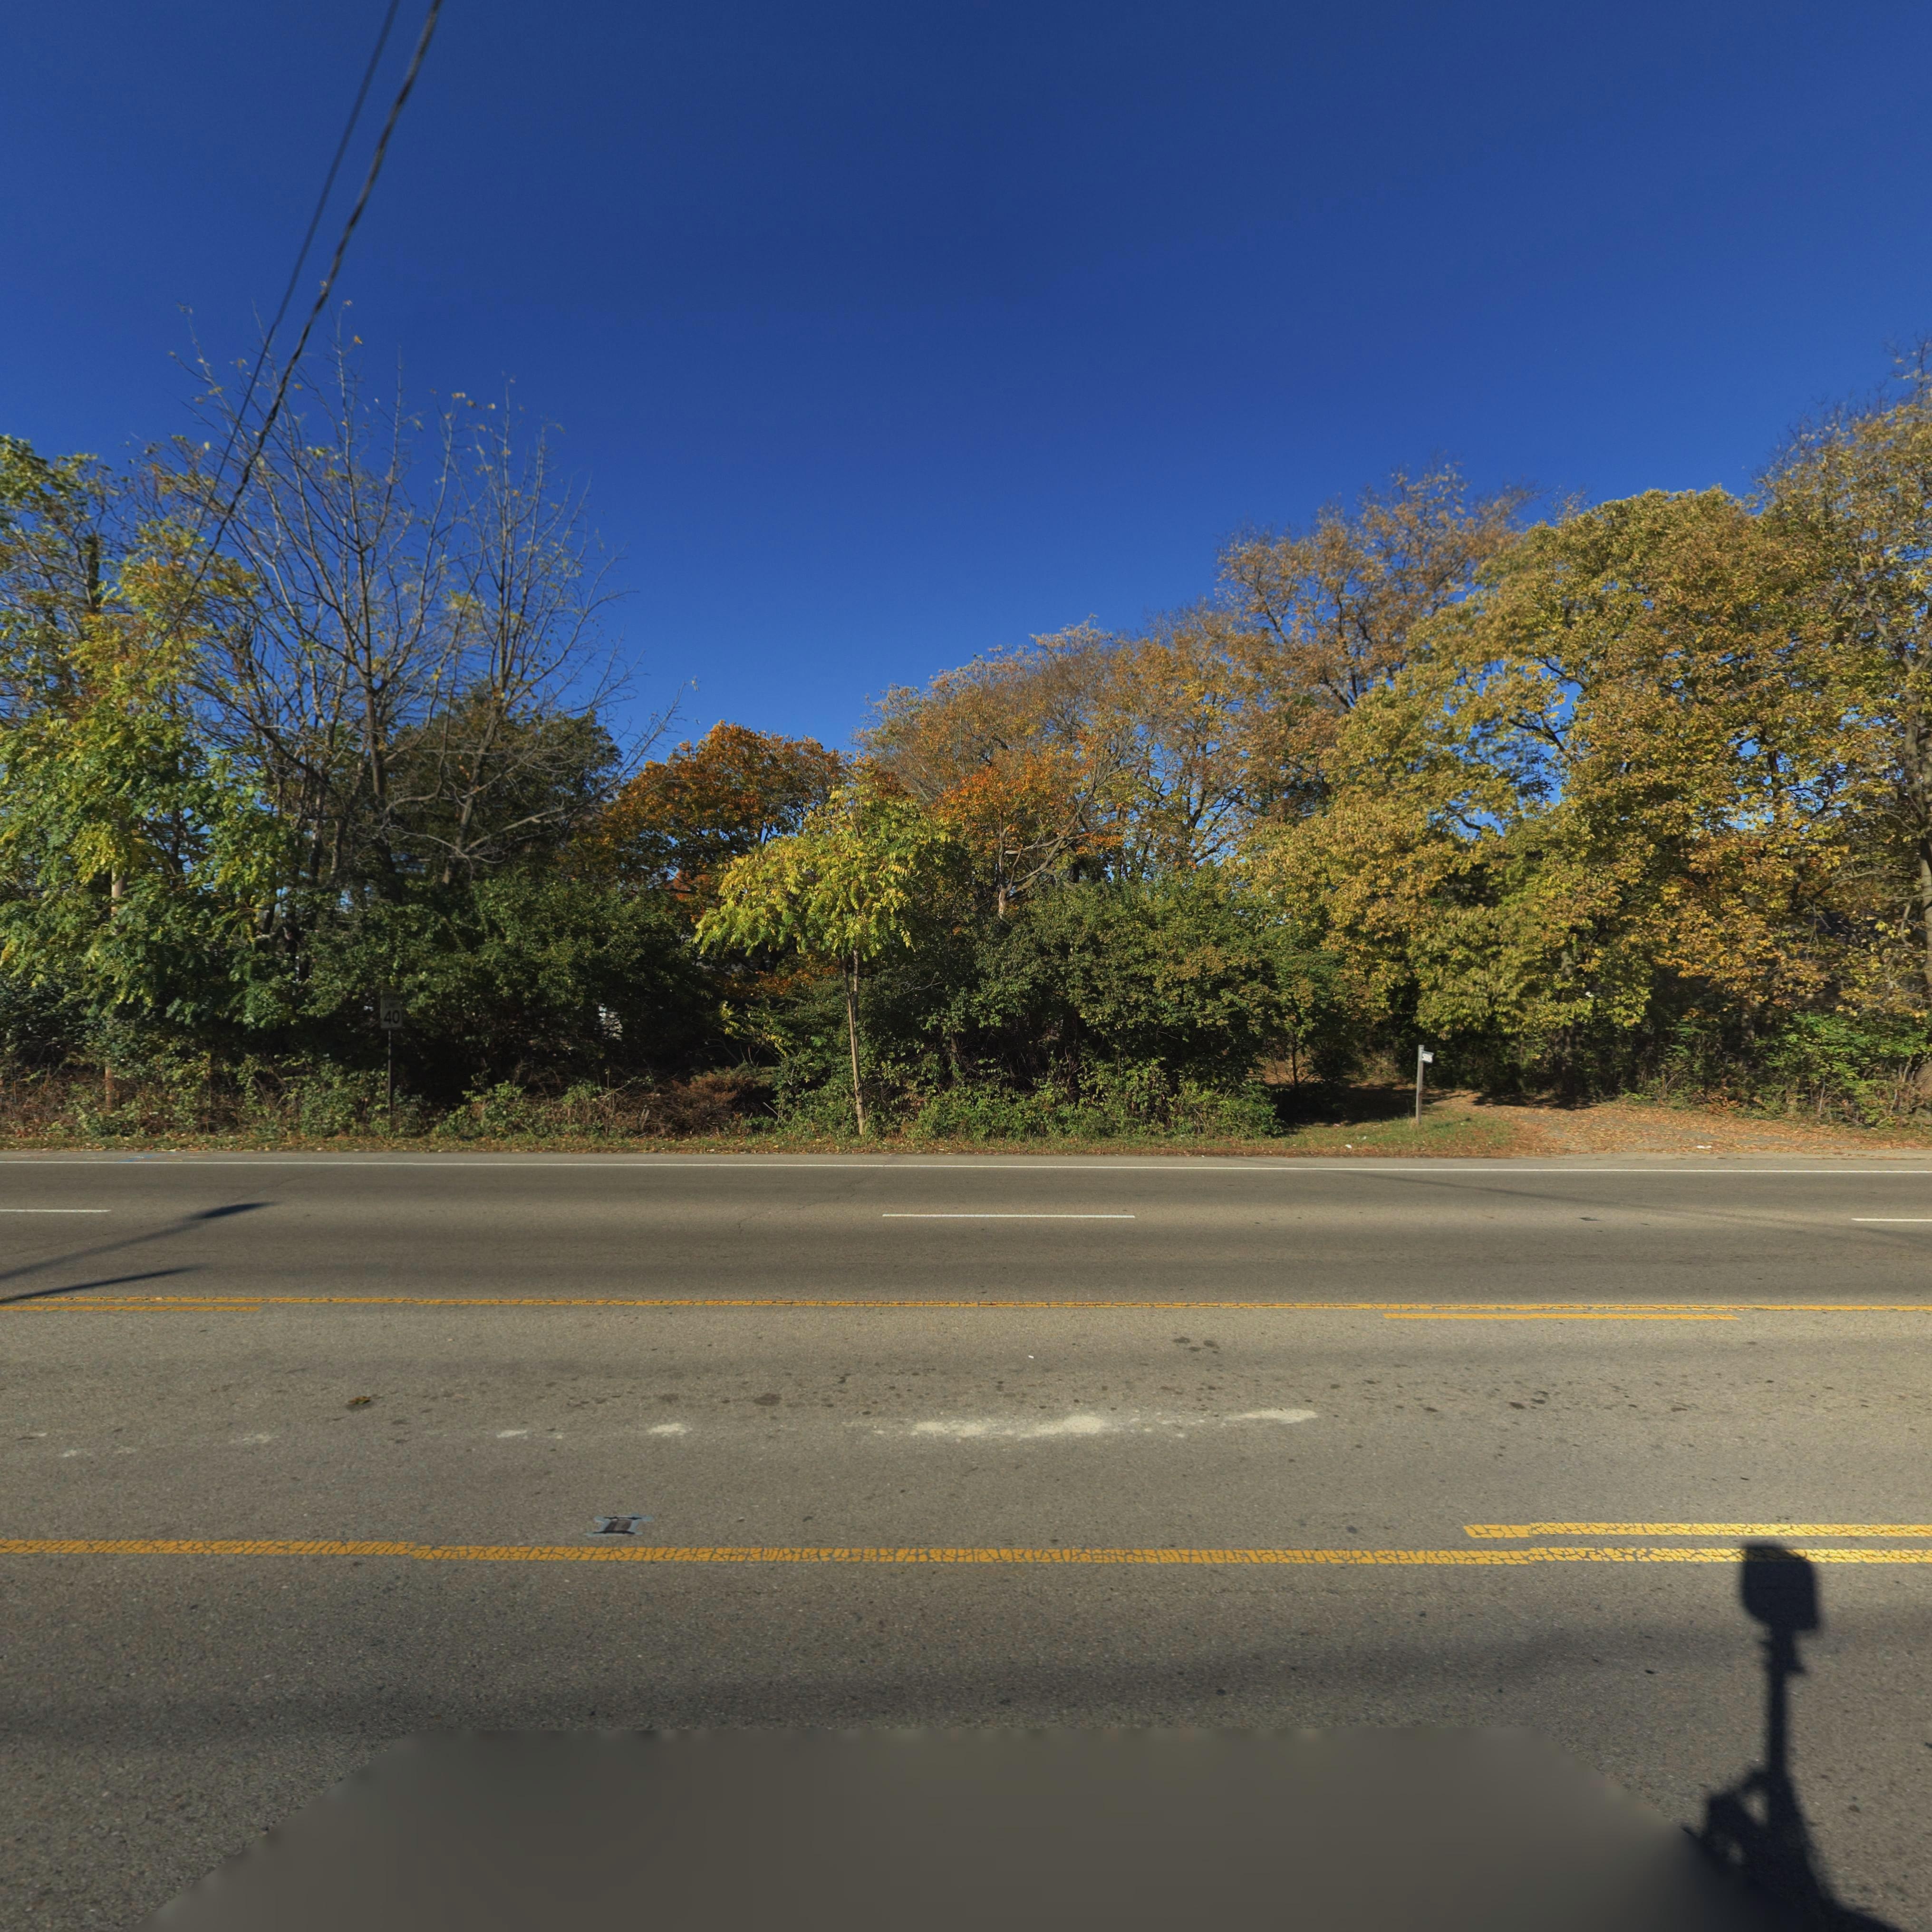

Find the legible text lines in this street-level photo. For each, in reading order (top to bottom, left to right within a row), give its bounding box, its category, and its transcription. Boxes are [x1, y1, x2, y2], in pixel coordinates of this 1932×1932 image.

[1421, 1053, 1433, 1063] StreetNumber: 5*15